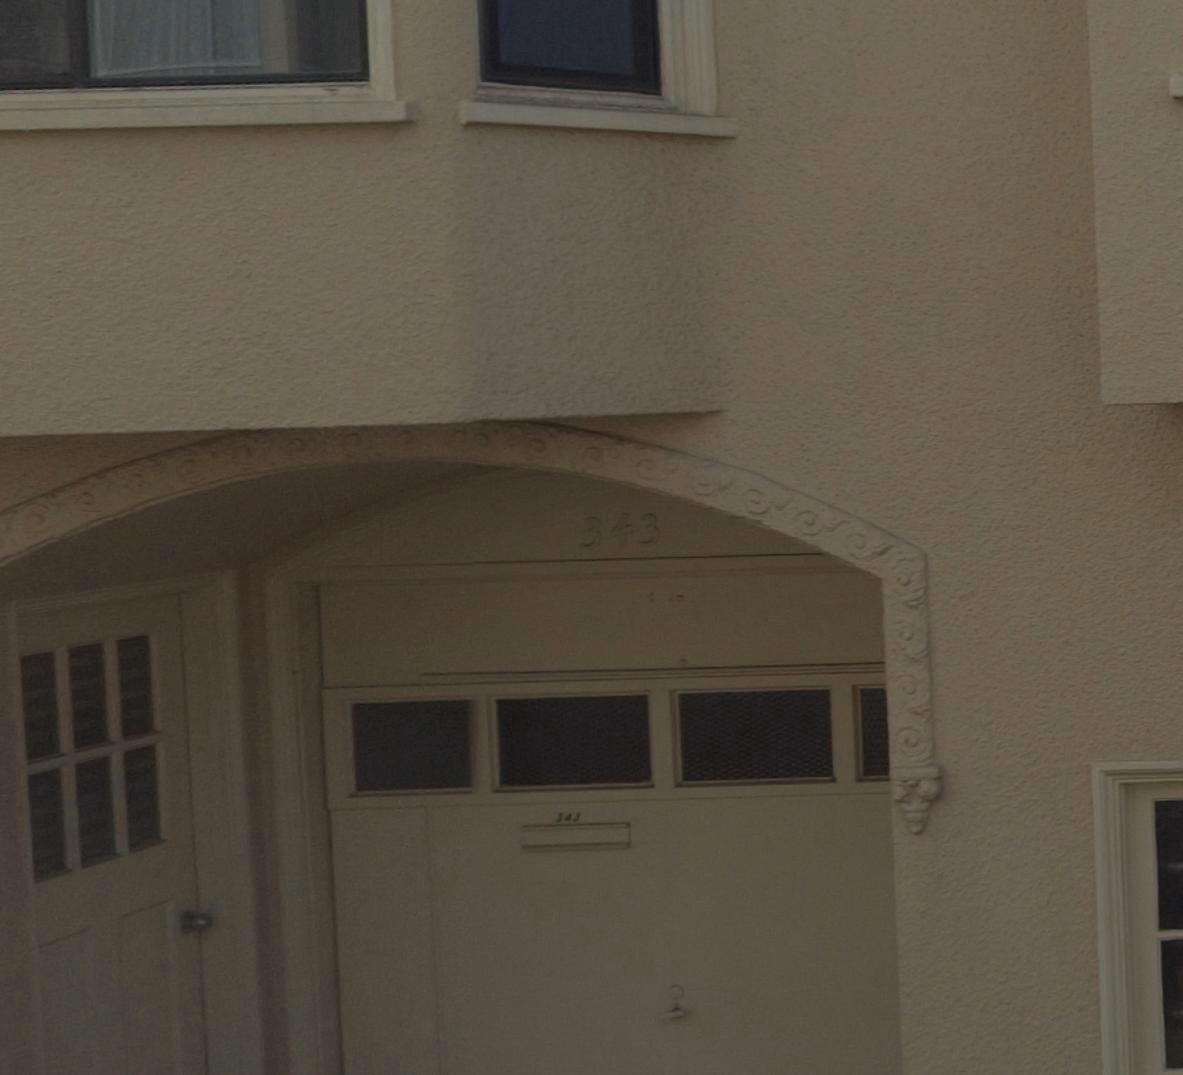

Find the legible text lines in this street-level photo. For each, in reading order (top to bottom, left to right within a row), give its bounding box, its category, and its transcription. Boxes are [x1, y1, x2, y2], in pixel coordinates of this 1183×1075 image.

[579, 510, 663, 550] StreetNumber: 343
[553, 809, 584, 825] StreetNumber: 343